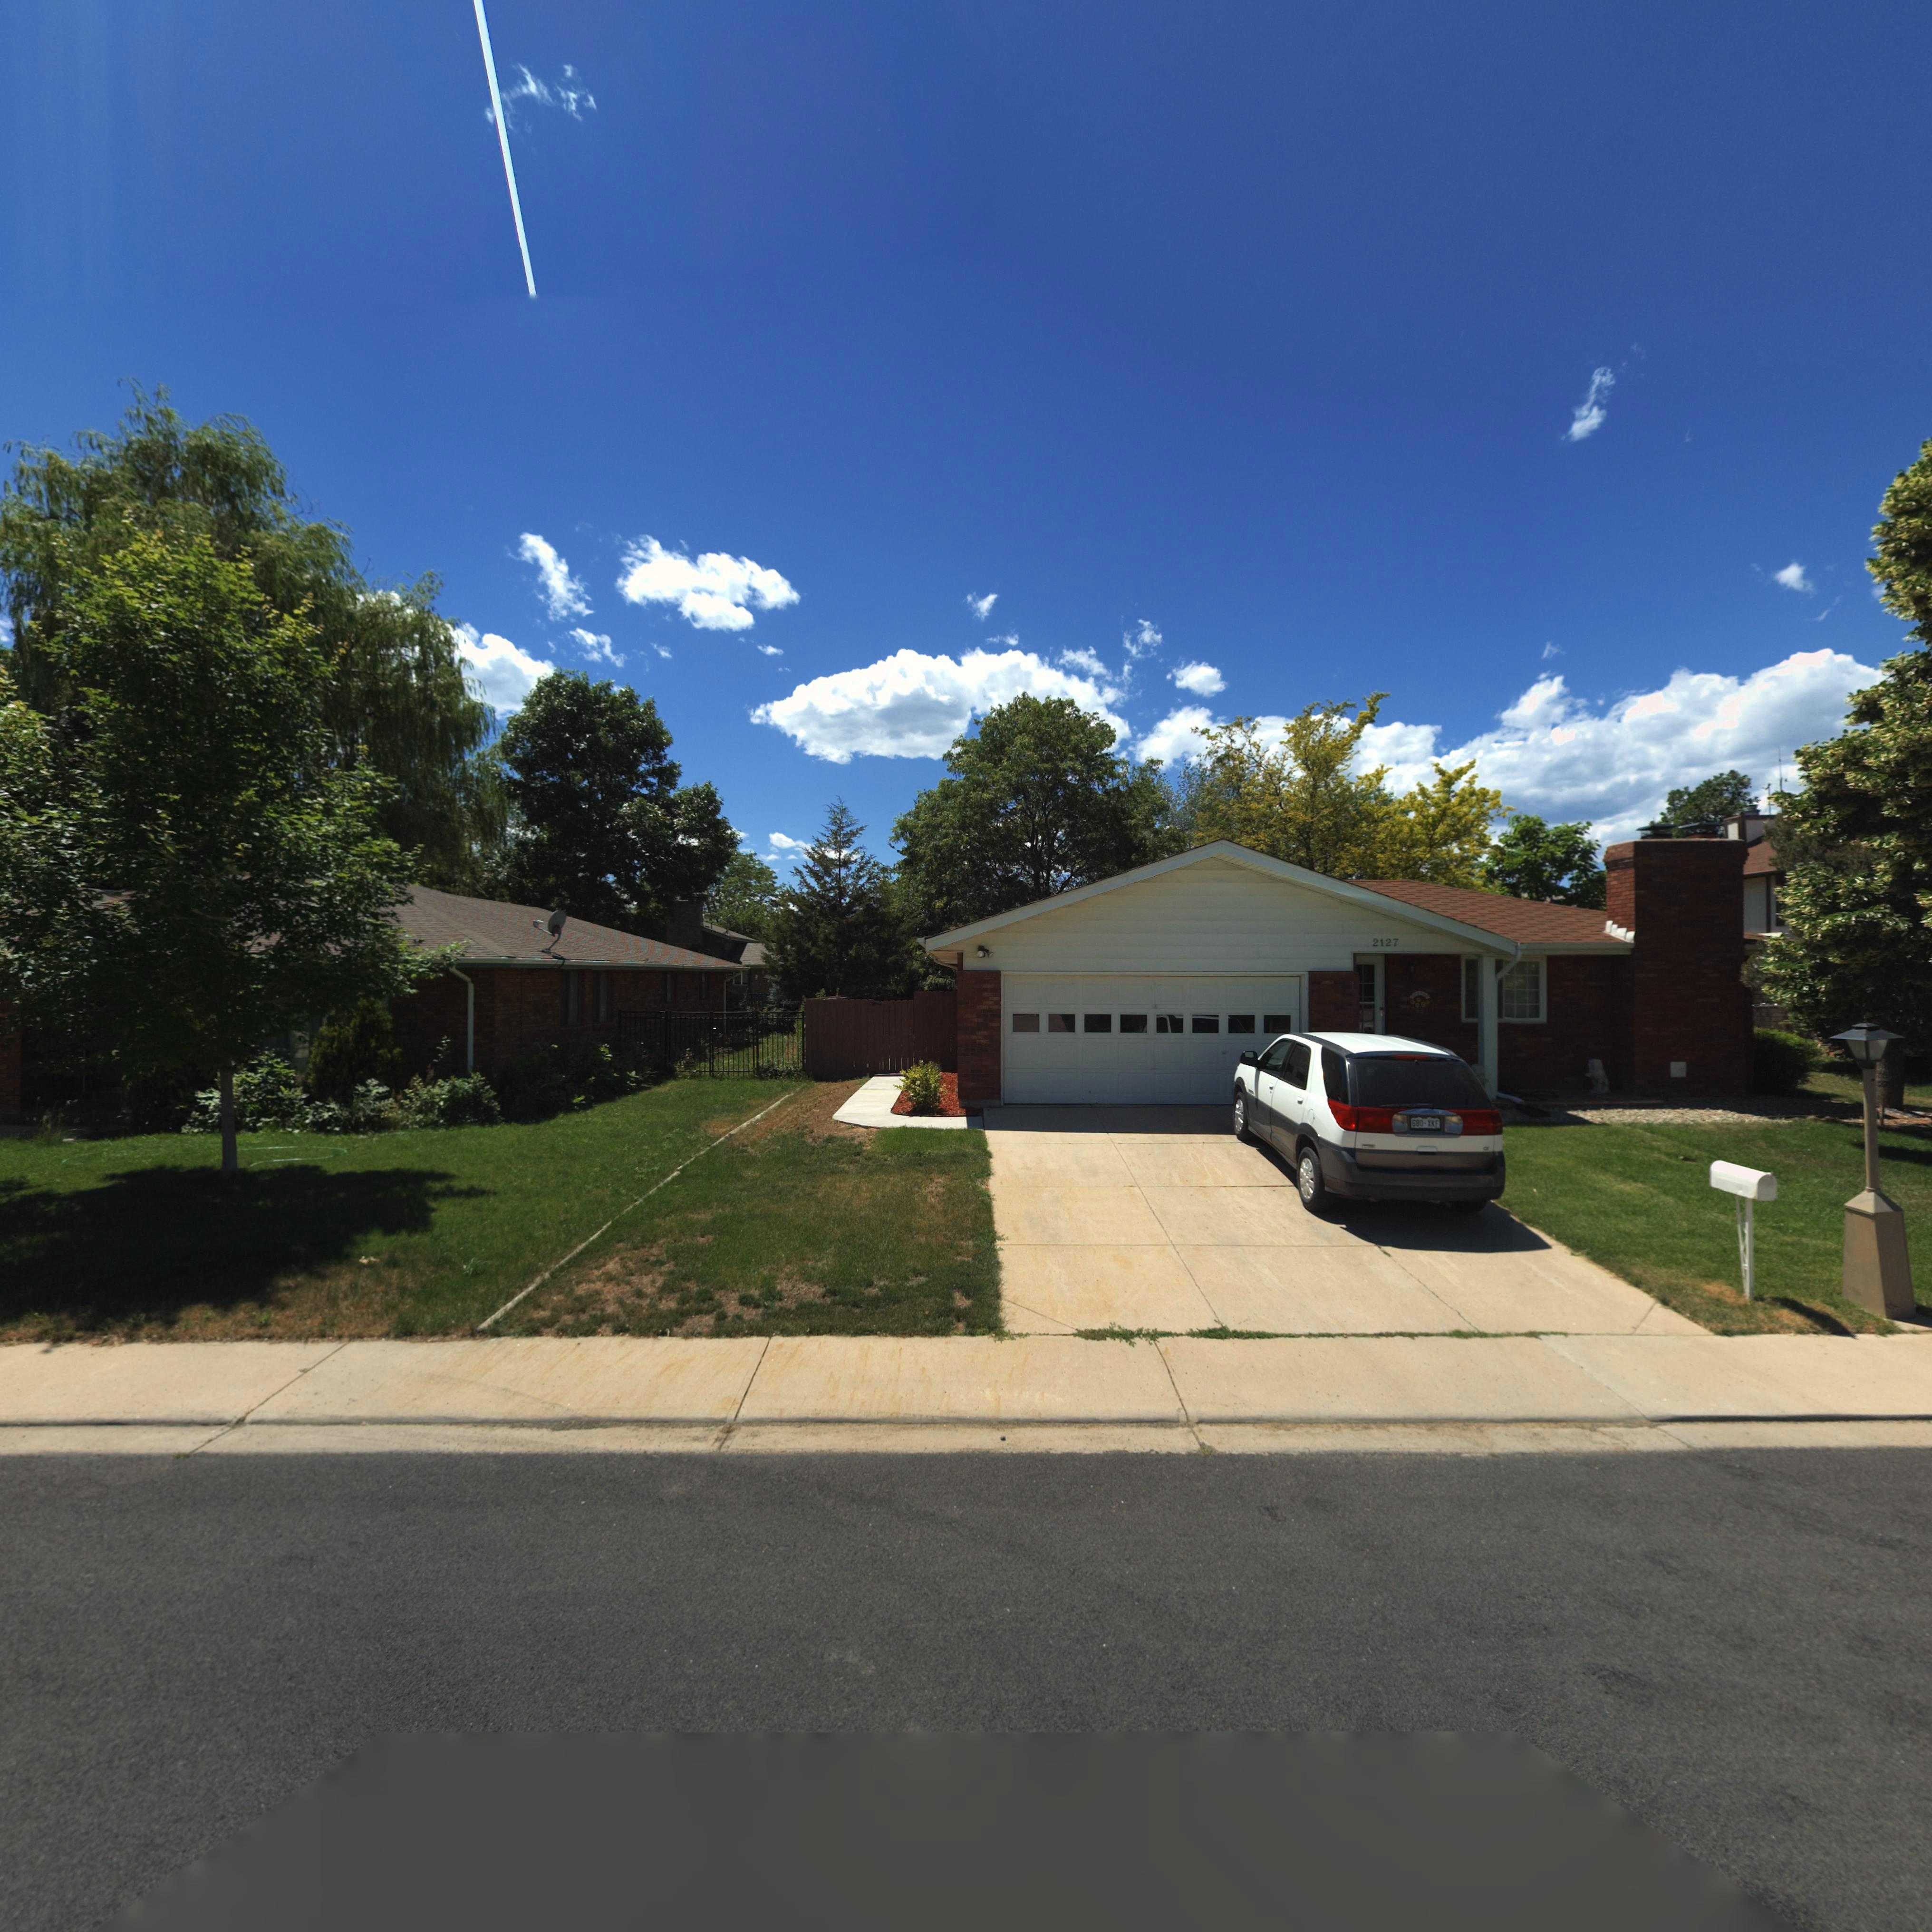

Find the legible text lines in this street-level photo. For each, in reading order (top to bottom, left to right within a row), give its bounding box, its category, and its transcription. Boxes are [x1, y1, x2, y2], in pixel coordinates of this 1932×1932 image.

[1372, 938, 1400, 946] StreetNumber: 2127